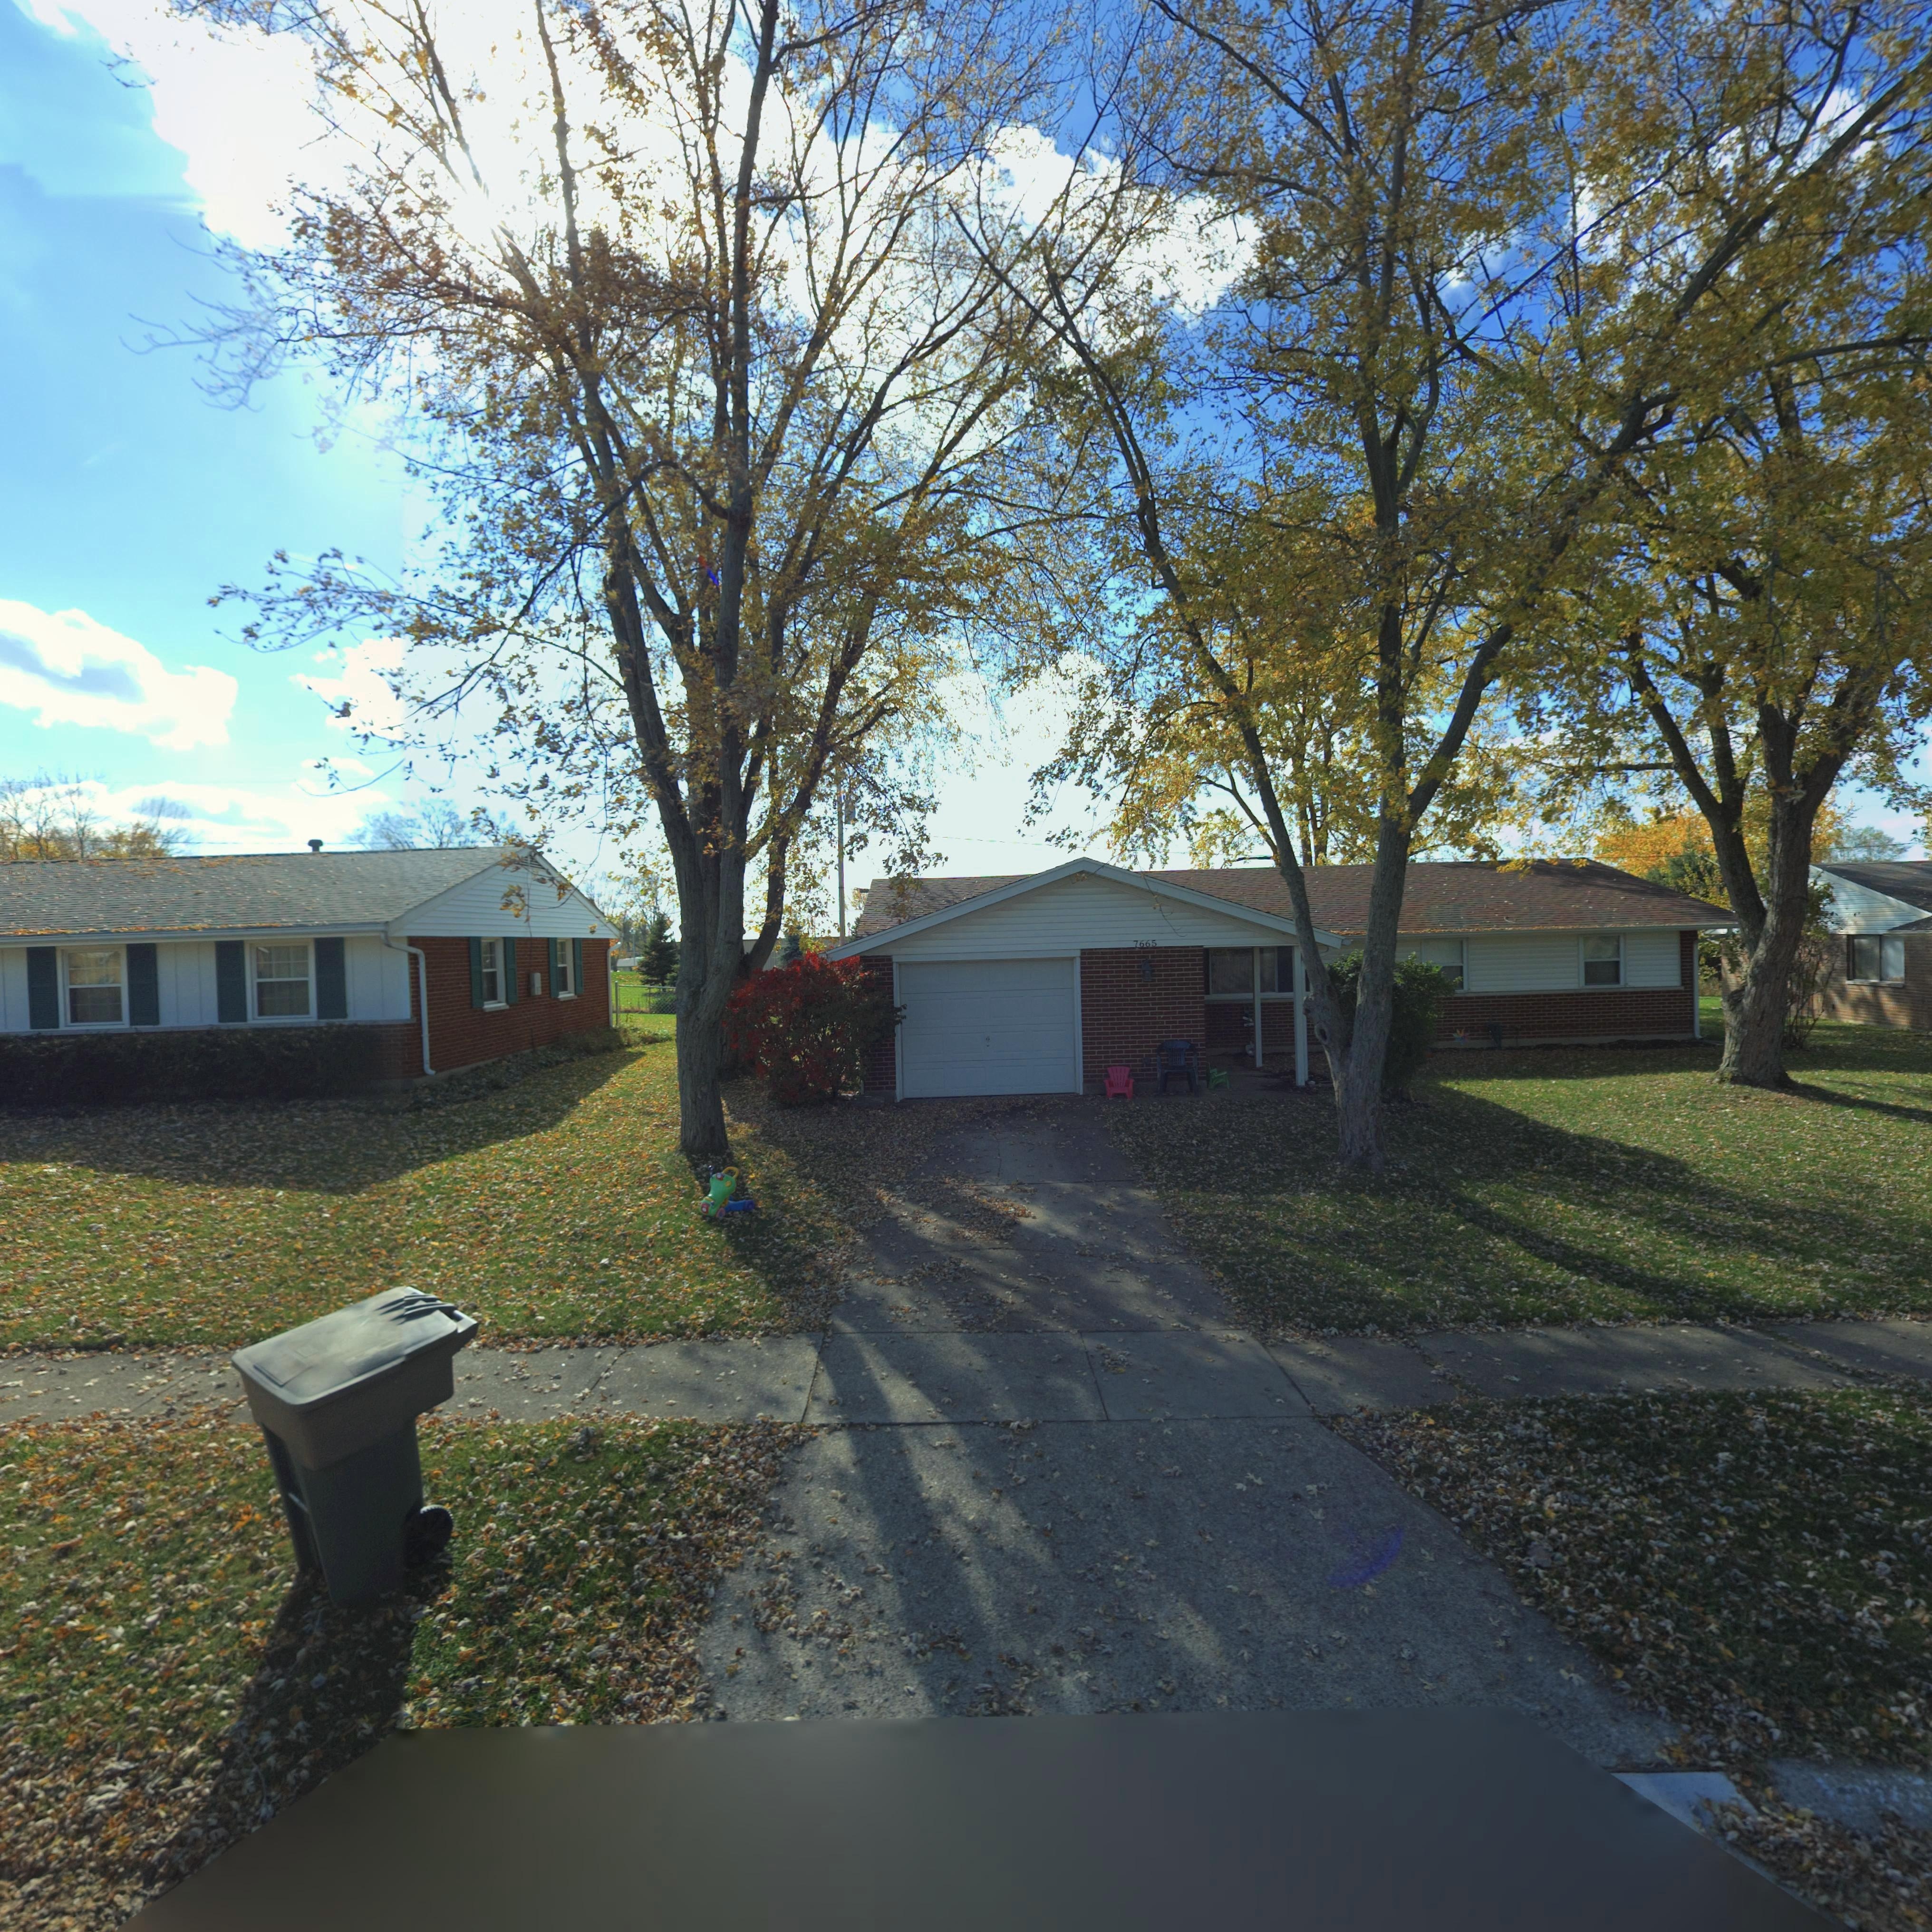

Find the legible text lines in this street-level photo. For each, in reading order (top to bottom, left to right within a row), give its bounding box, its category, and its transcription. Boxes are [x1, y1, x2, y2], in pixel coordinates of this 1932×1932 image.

[1132, 939, 1157, 948] StreetNumber: 7665